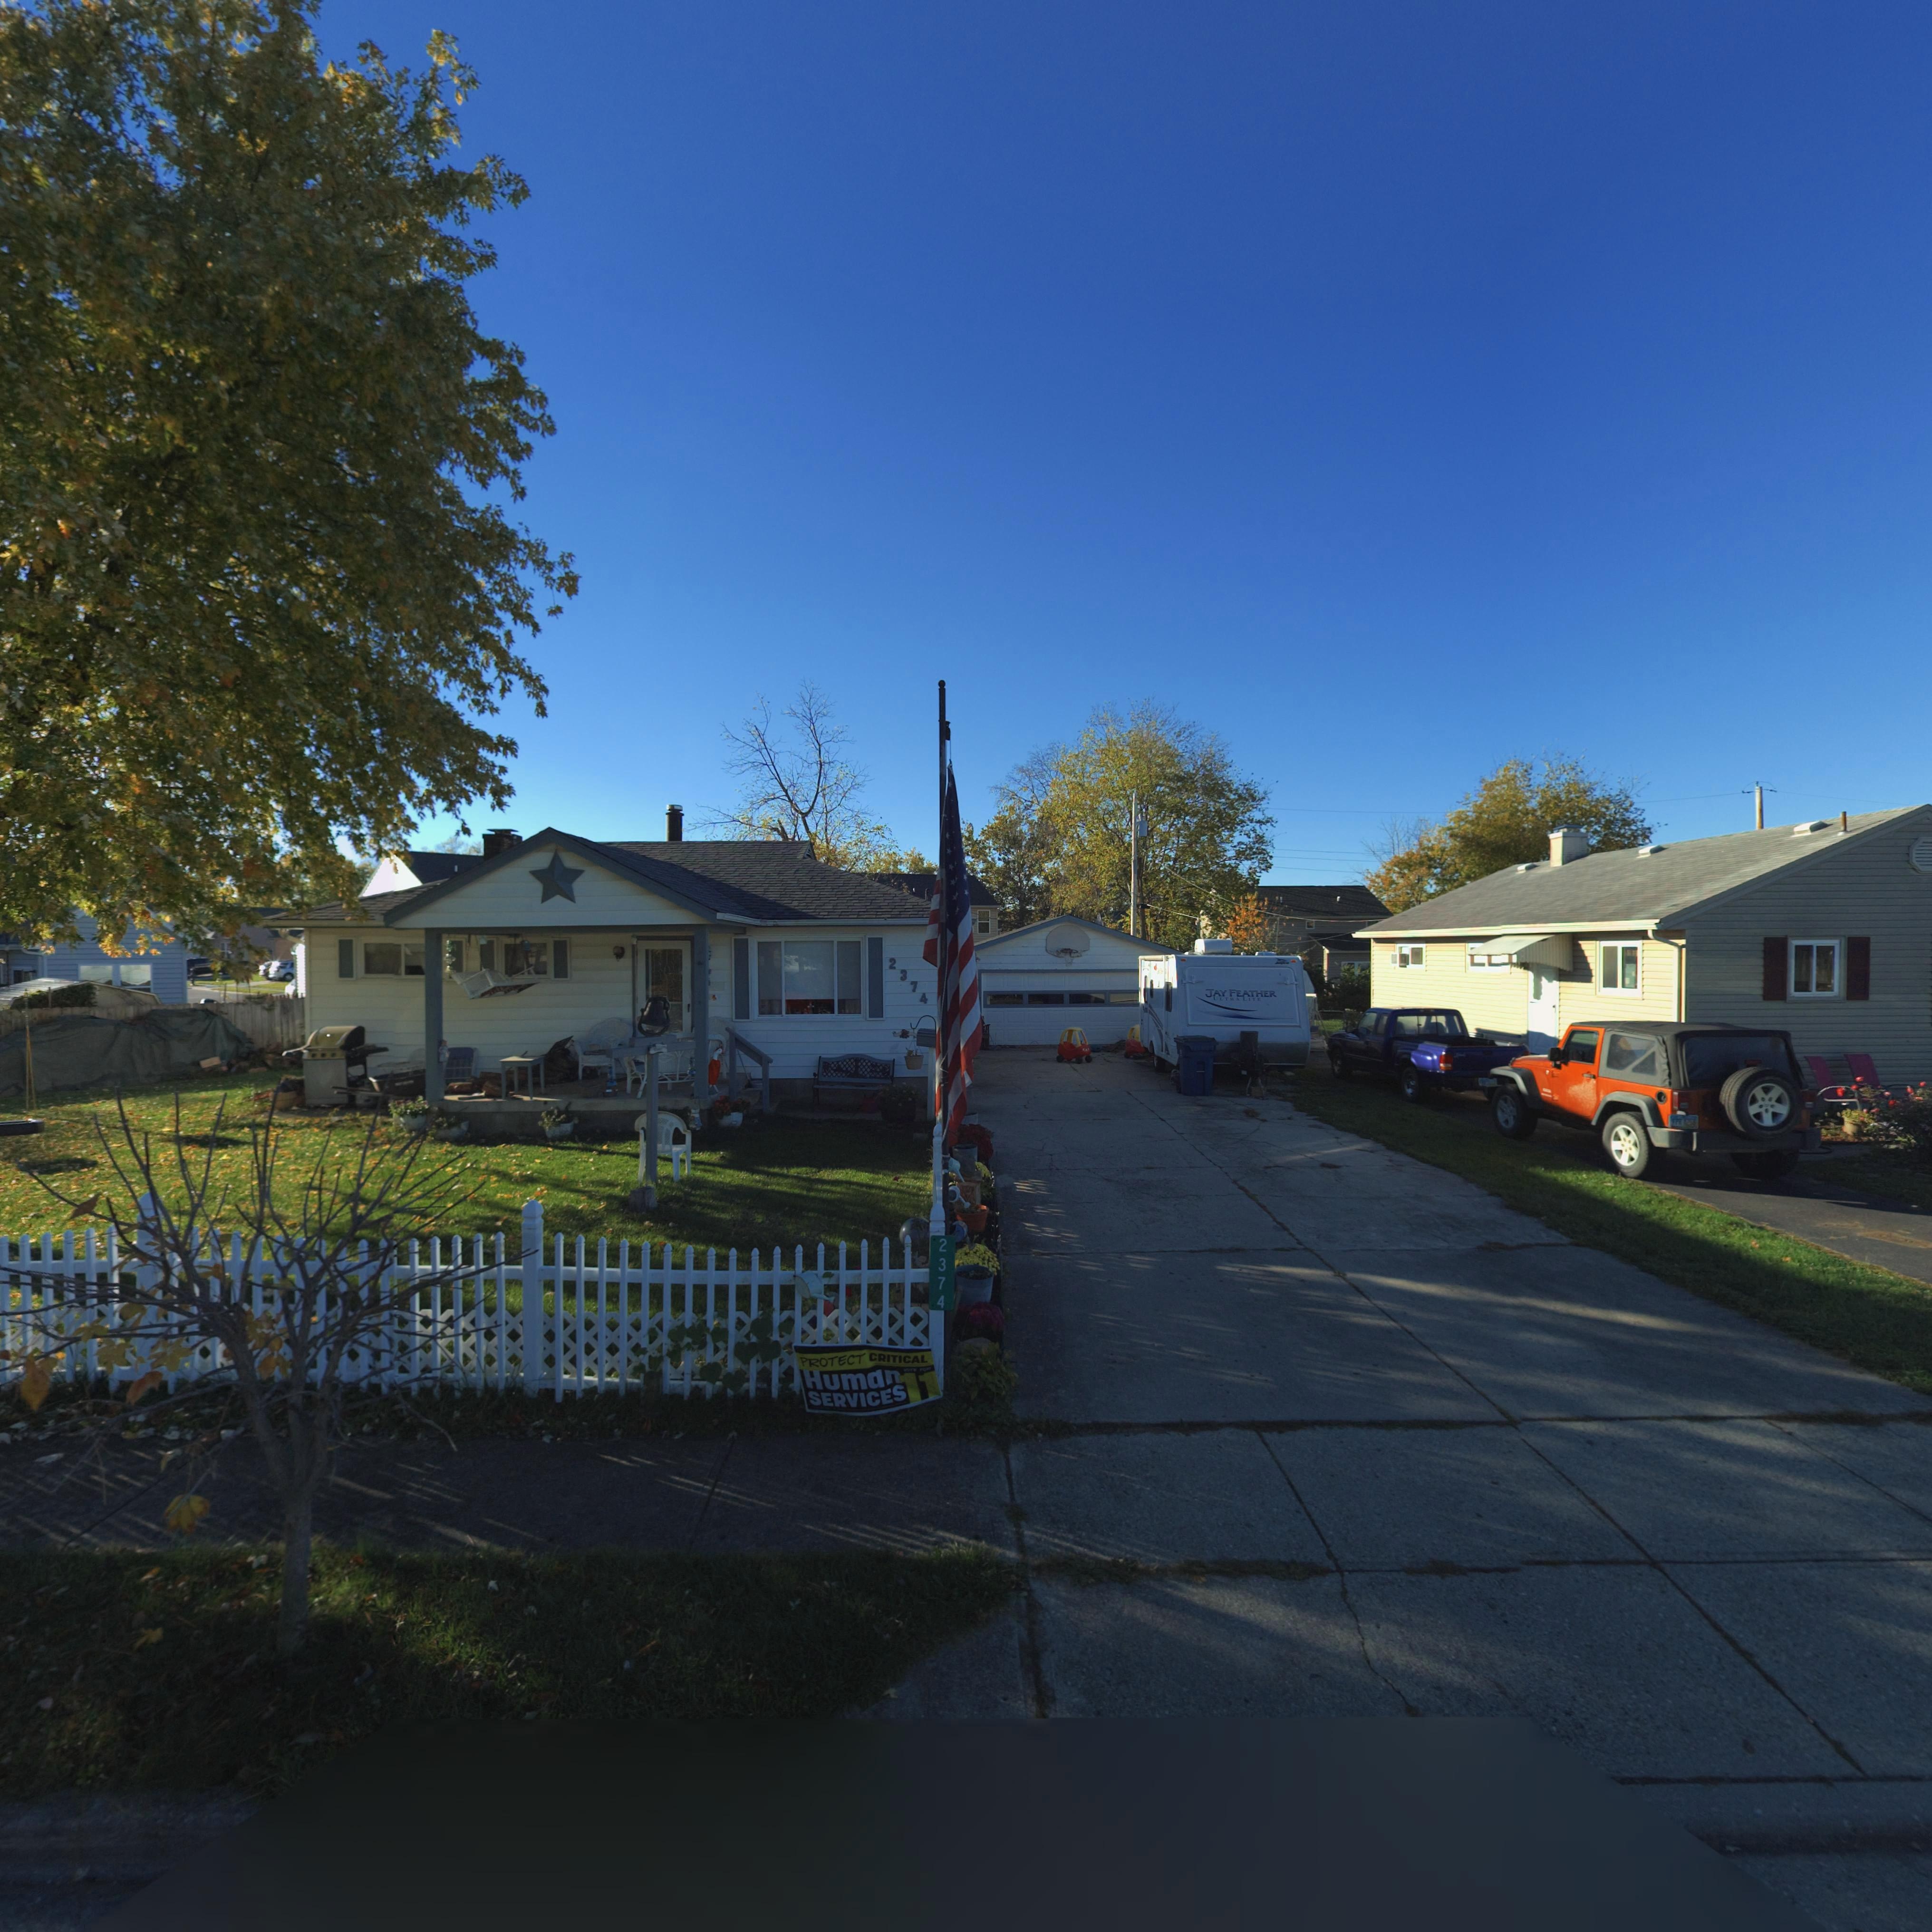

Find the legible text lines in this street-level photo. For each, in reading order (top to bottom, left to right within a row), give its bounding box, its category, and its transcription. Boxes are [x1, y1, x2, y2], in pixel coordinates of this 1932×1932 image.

[887, 956, 928, 1005] StreetNumber: 2374
[936, 1237, 948, 1309] StreetNumber: 2374